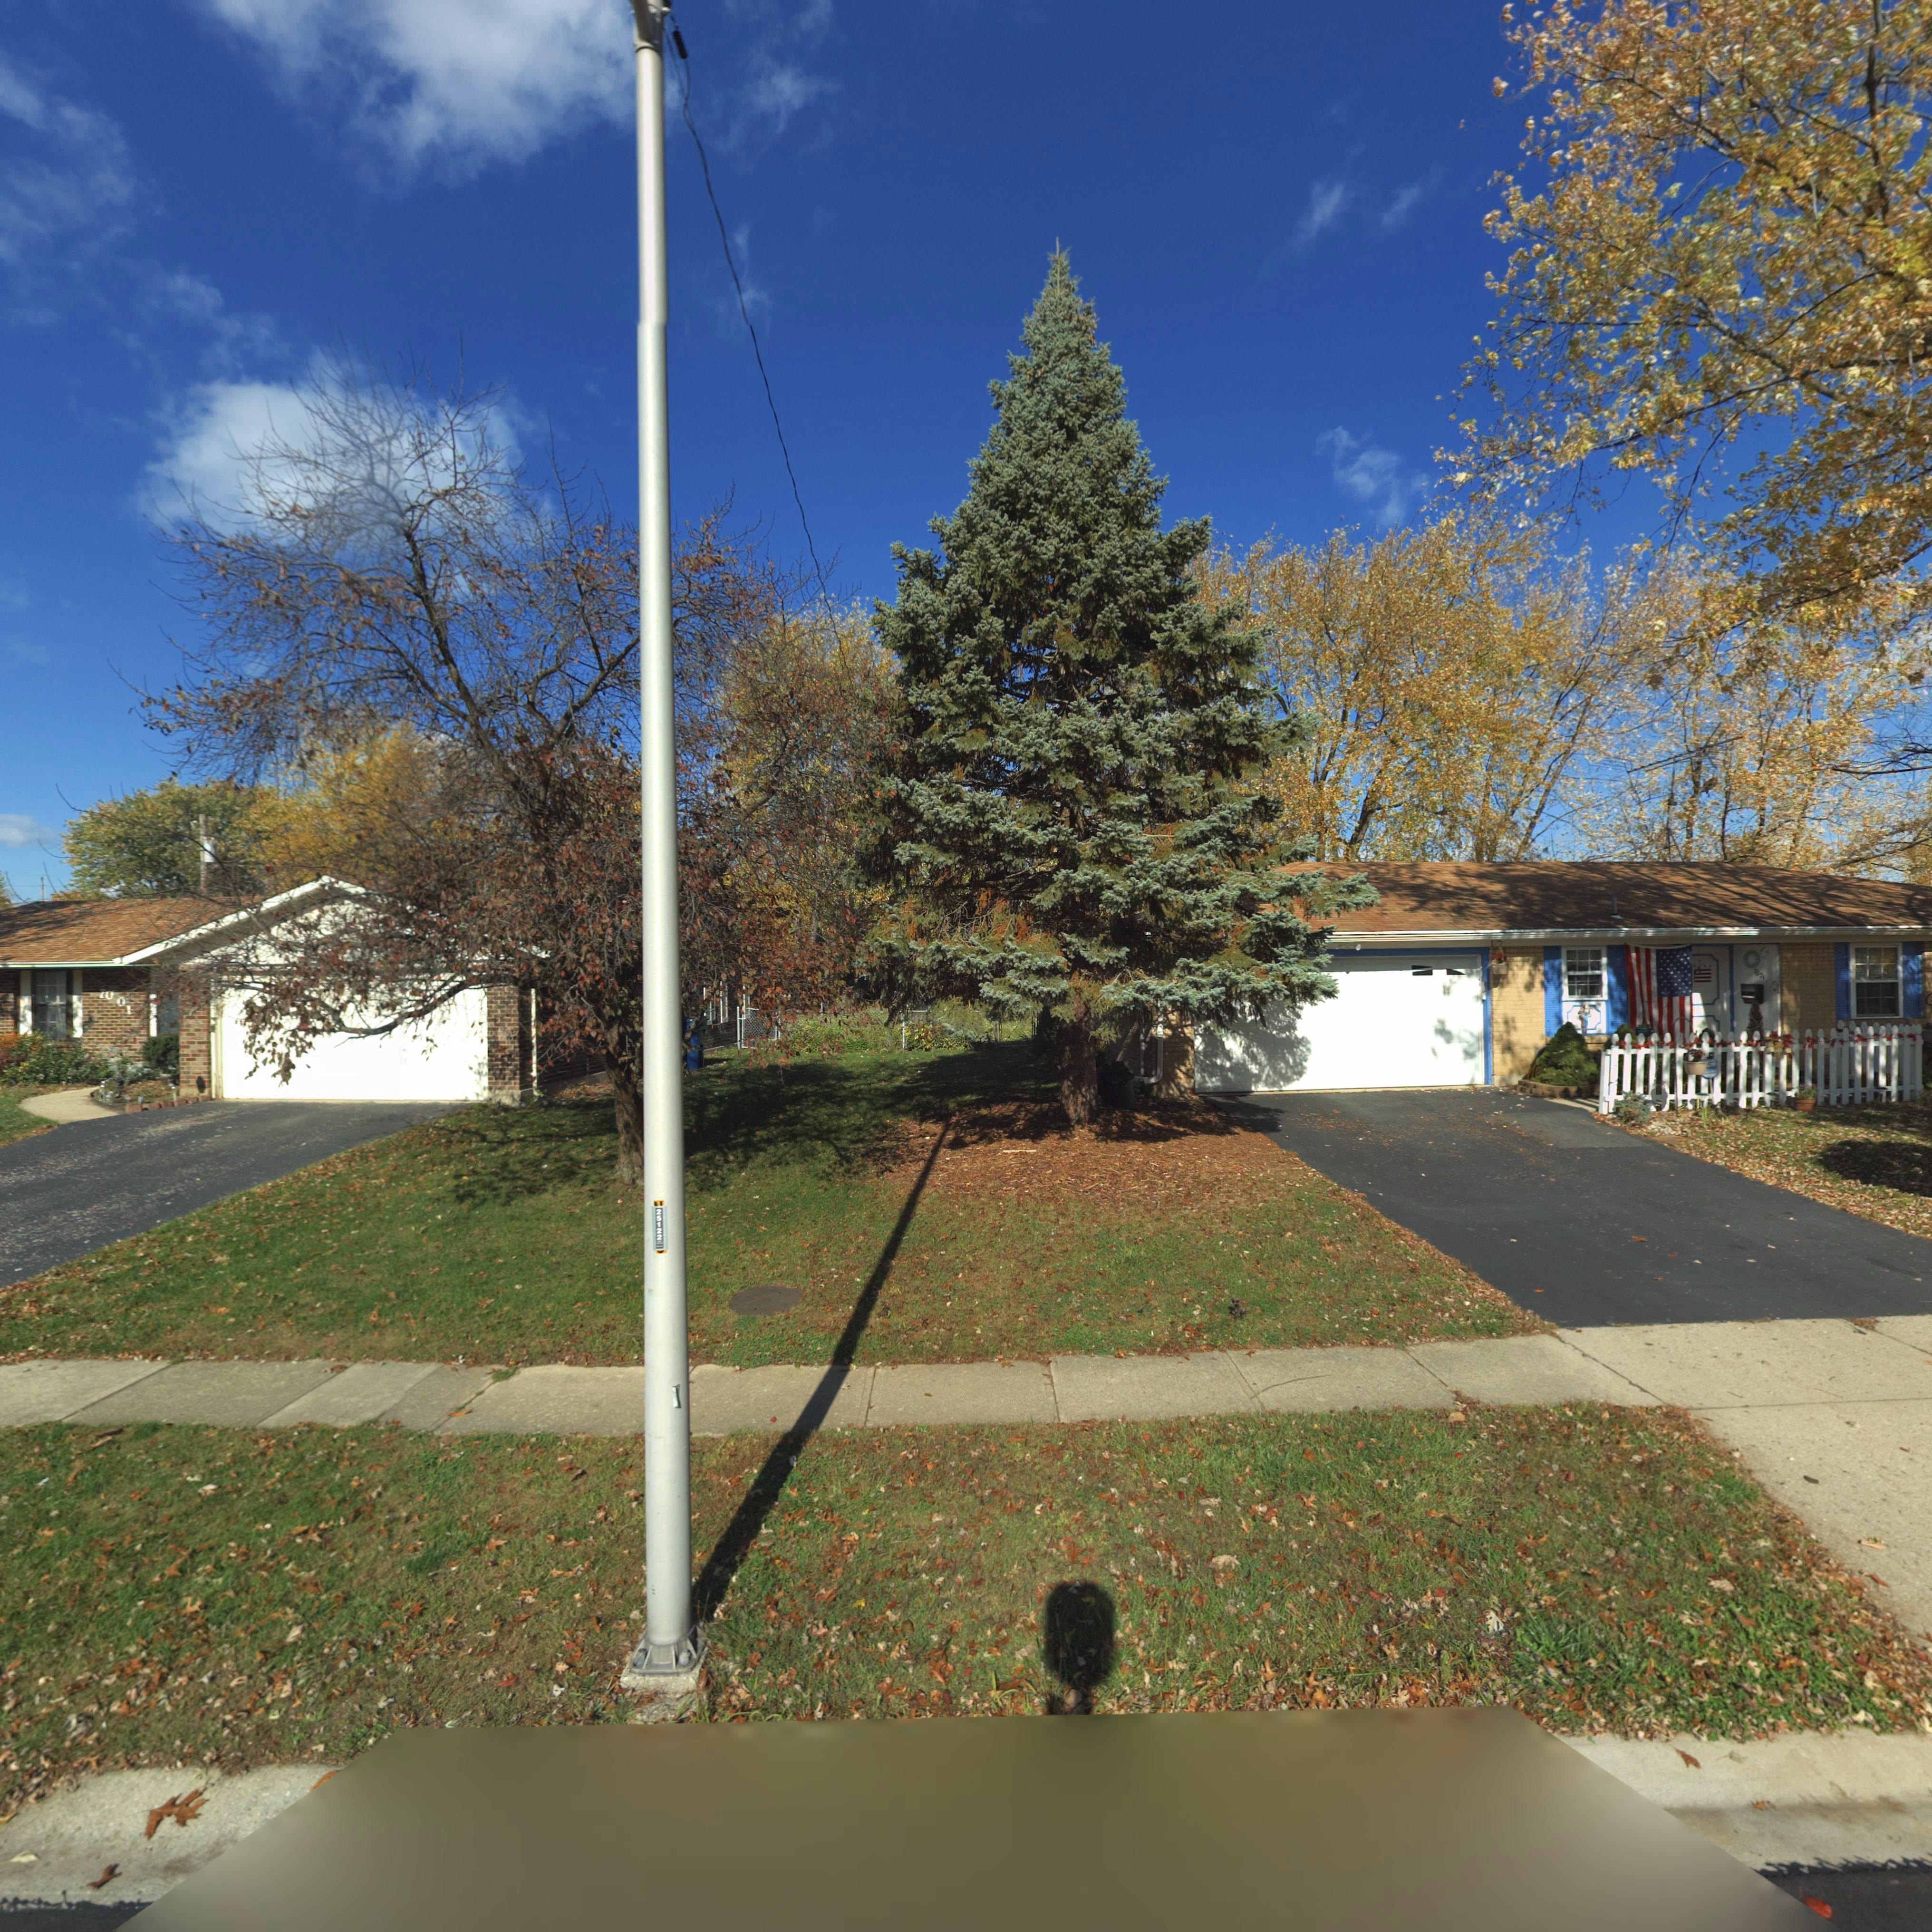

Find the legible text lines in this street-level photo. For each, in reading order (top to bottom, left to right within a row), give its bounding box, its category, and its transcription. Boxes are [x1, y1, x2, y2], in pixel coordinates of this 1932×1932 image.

[1751, 967, 1766, 982] StreetNumber: *02*
[97, 987, 134, 1017] StreetNumber: 7001